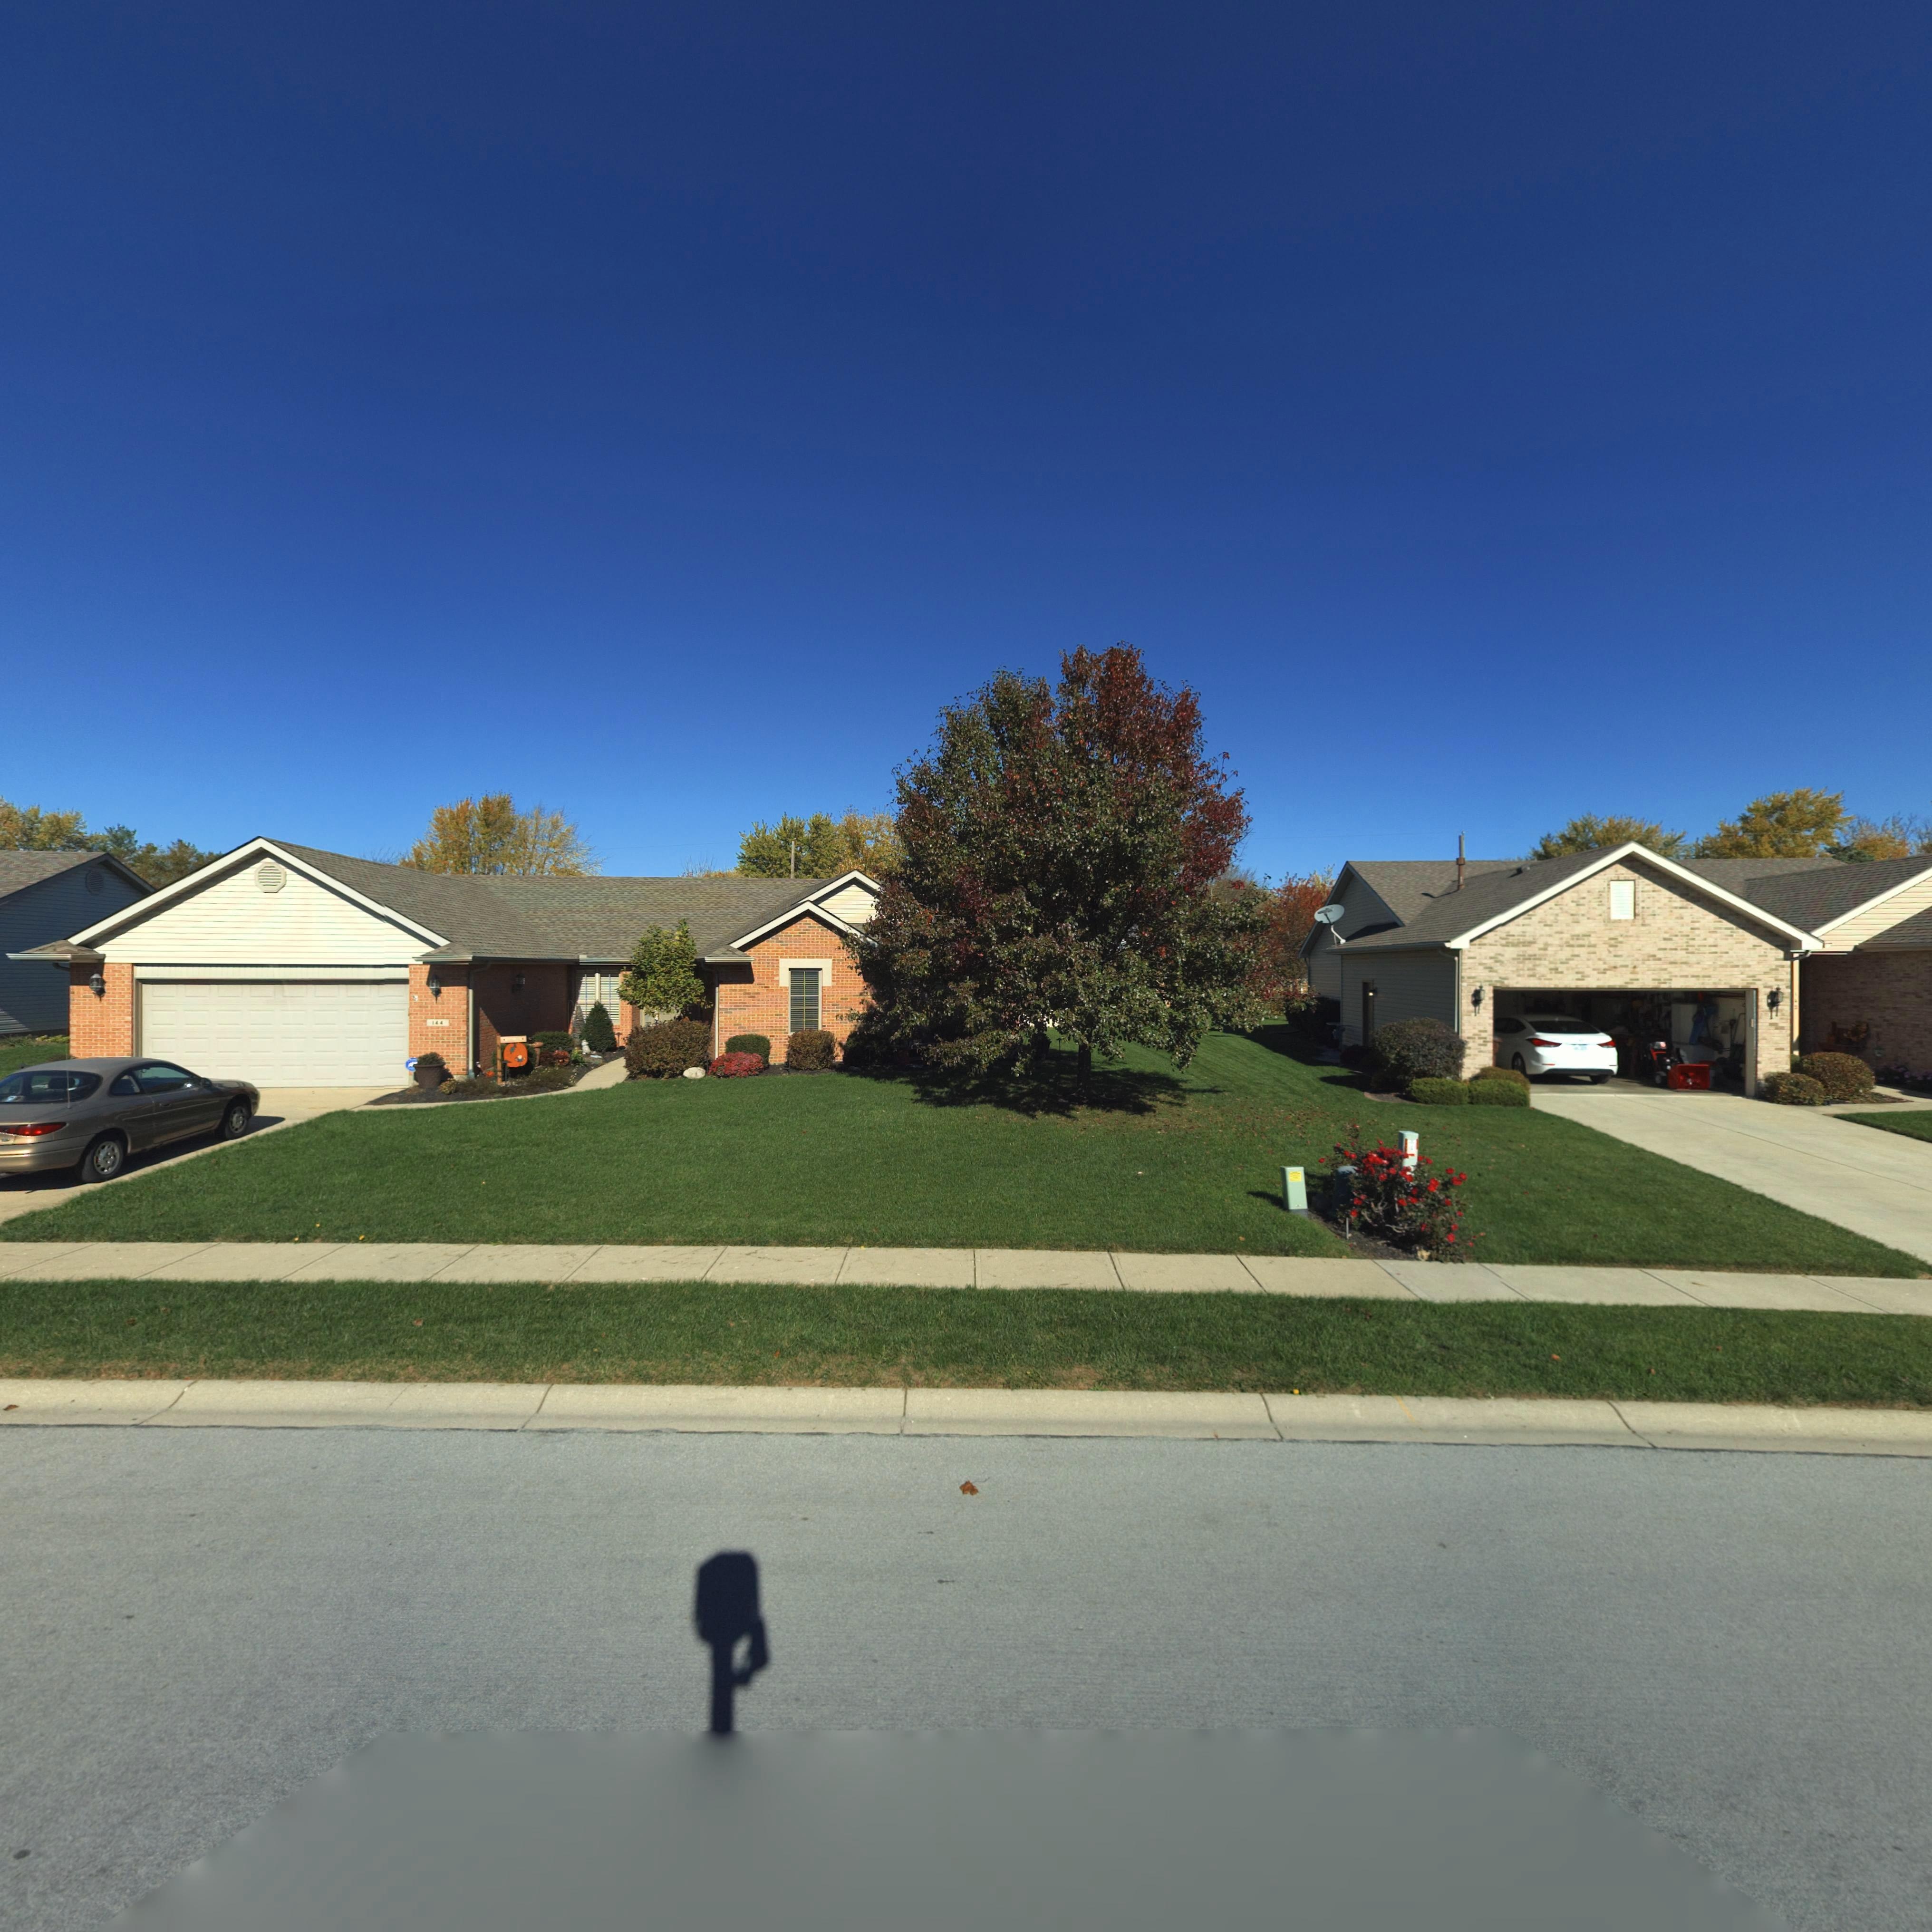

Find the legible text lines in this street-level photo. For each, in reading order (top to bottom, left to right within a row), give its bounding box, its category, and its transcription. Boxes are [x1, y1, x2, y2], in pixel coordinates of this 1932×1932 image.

[432, 1020, 443, 1025] StreetNumber: 144